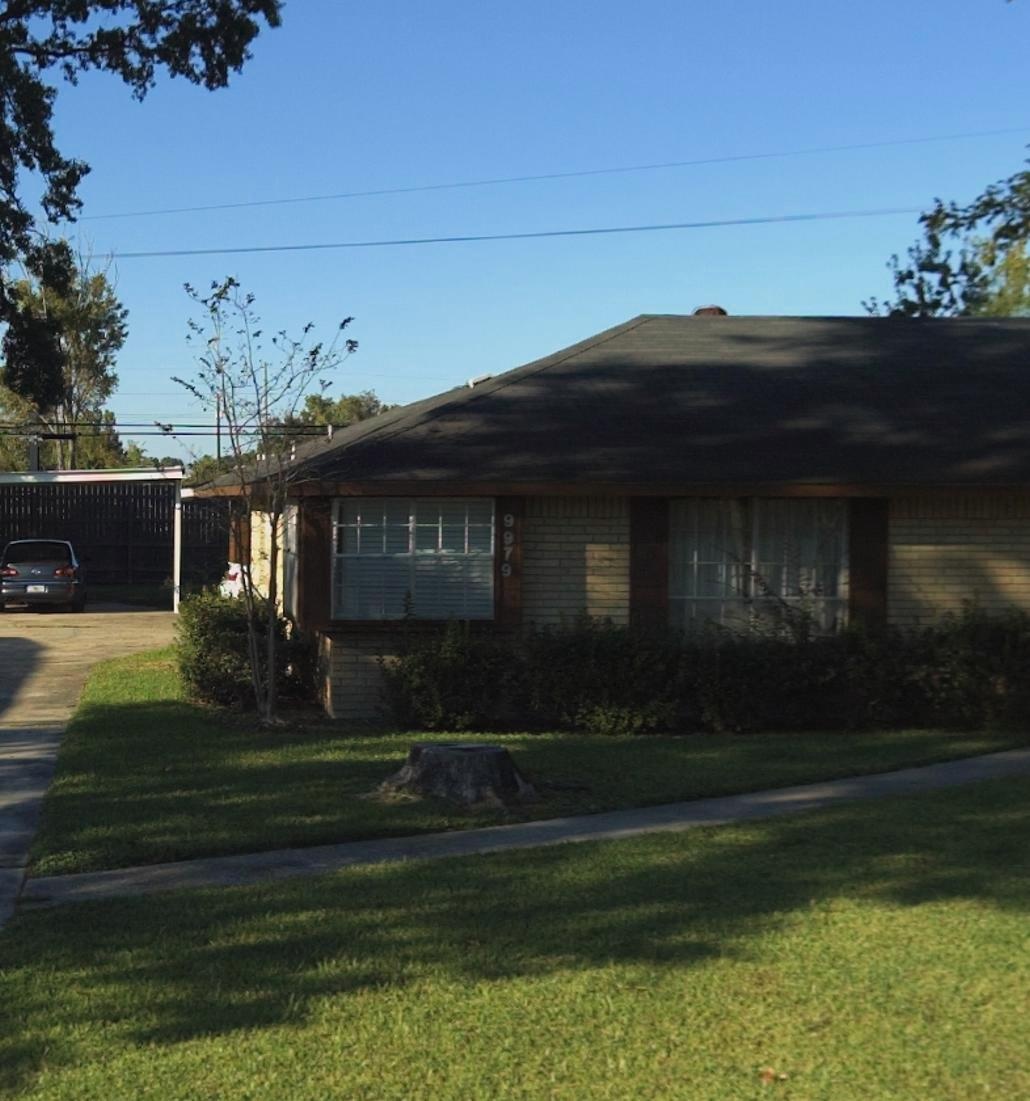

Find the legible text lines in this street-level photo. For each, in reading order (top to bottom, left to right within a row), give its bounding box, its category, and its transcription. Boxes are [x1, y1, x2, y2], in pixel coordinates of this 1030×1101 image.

[500, 511, 515, 579] StreetNumber: 9979